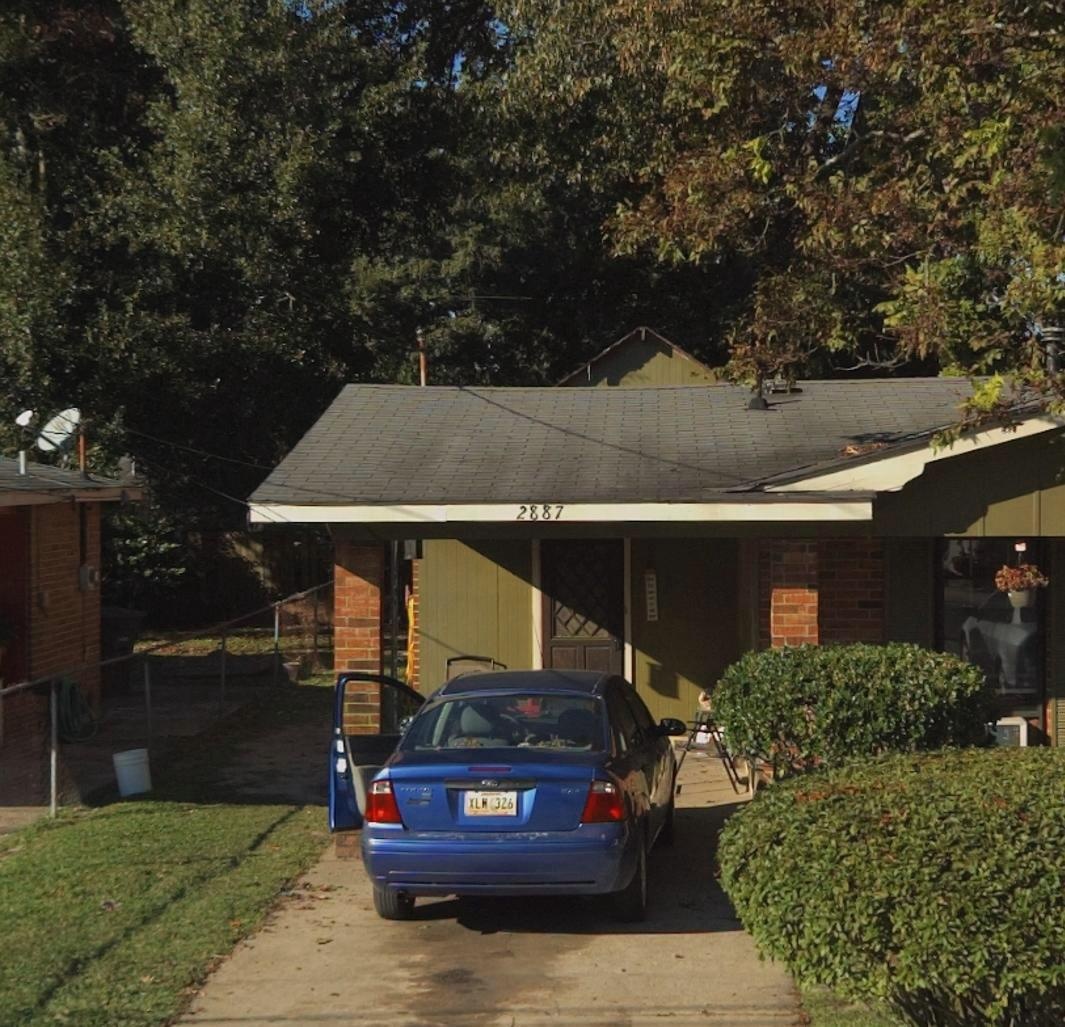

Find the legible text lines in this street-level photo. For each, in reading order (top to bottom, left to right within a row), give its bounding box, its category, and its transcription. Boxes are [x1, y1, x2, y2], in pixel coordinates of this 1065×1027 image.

[516, 504, 566, 521] StreetNumber: 2887
[467, 796, 517, 811] None: XLM 326